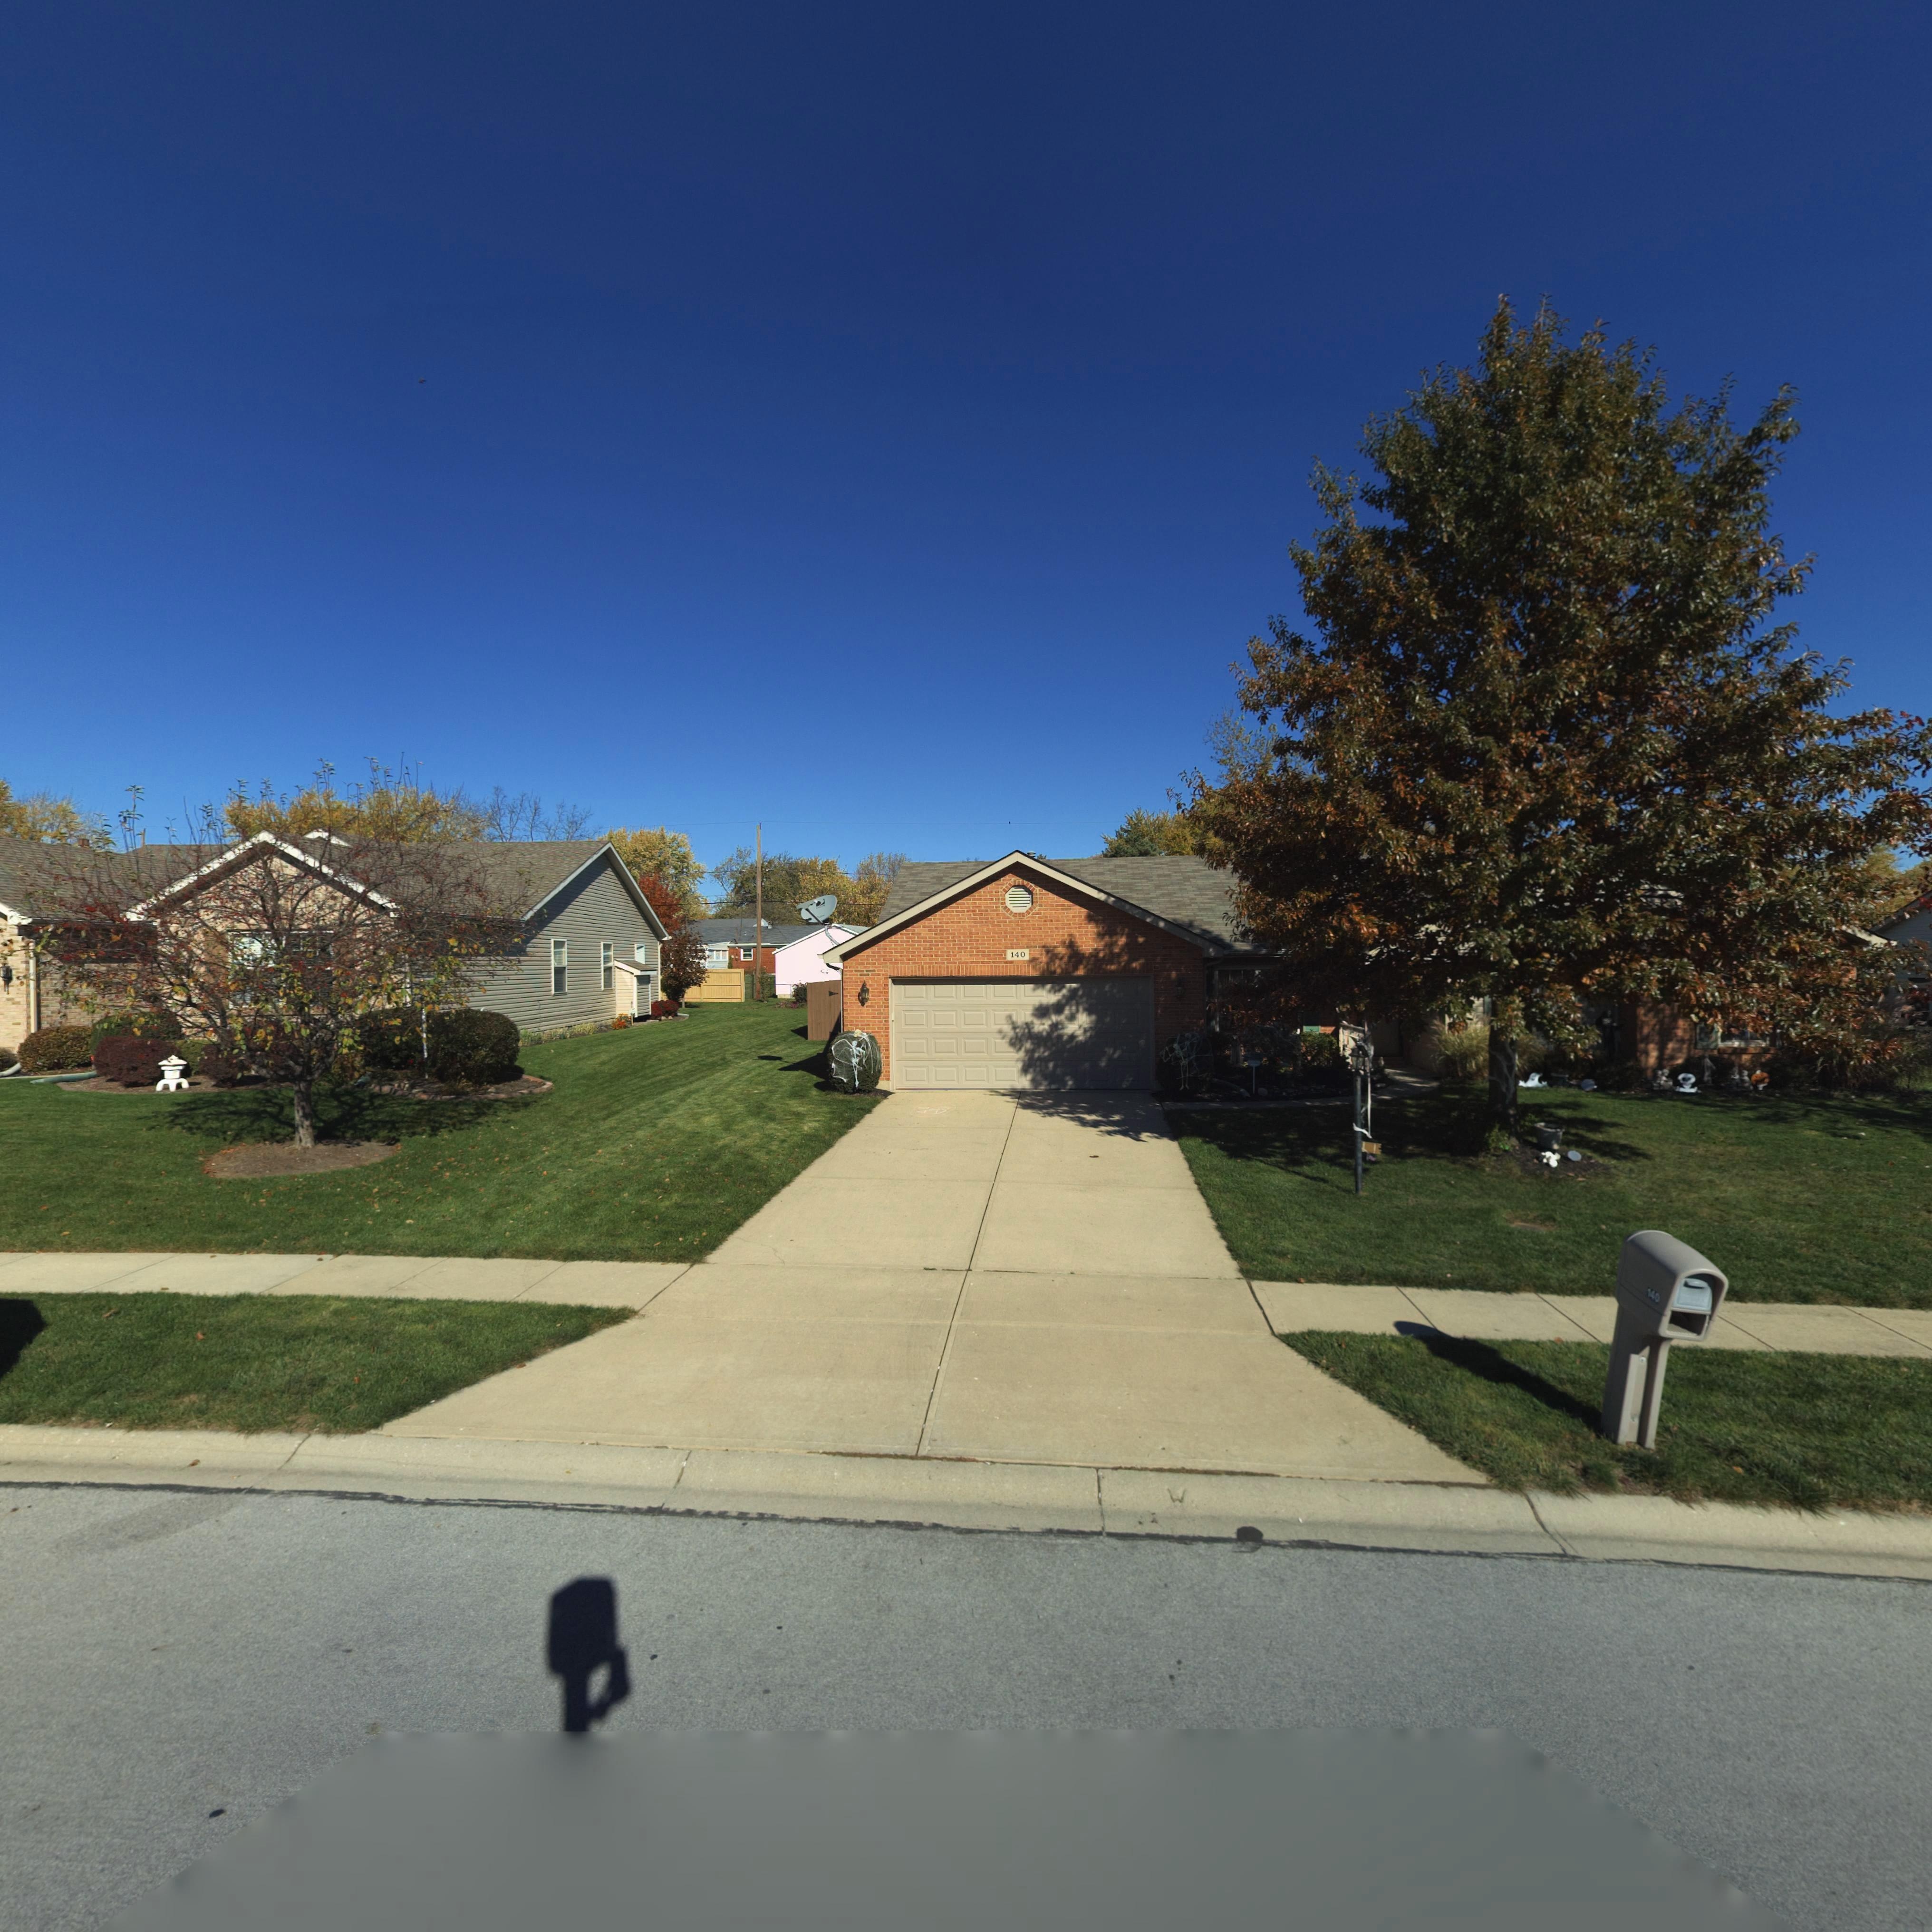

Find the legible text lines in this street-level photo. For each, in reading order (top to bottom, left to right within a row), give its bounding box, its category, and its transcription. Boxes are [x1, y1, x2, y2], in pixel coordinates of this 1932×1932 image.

[1010, 951, 1025, 958] StreetNumber: 140
[1647, 1286, 1661, 1305] StreetNumber: 140